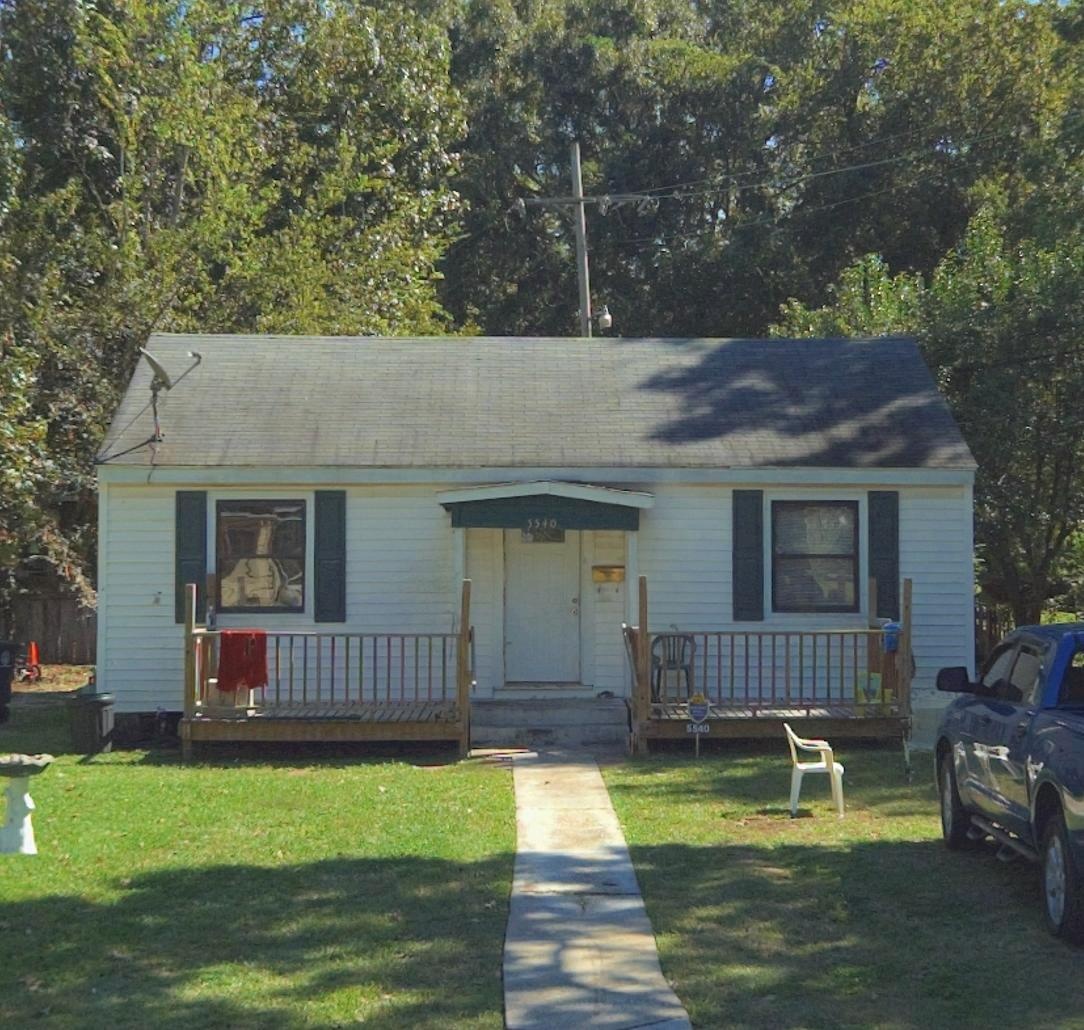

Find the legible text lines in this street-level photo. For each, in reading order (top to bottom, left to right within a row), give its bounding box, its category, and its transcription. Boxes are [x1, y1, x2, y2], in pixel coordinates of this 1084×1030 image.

[526, 517, 559, 529] StreetNumber: 5540
[686, 723, 710, 733] StreetNumber: 5540